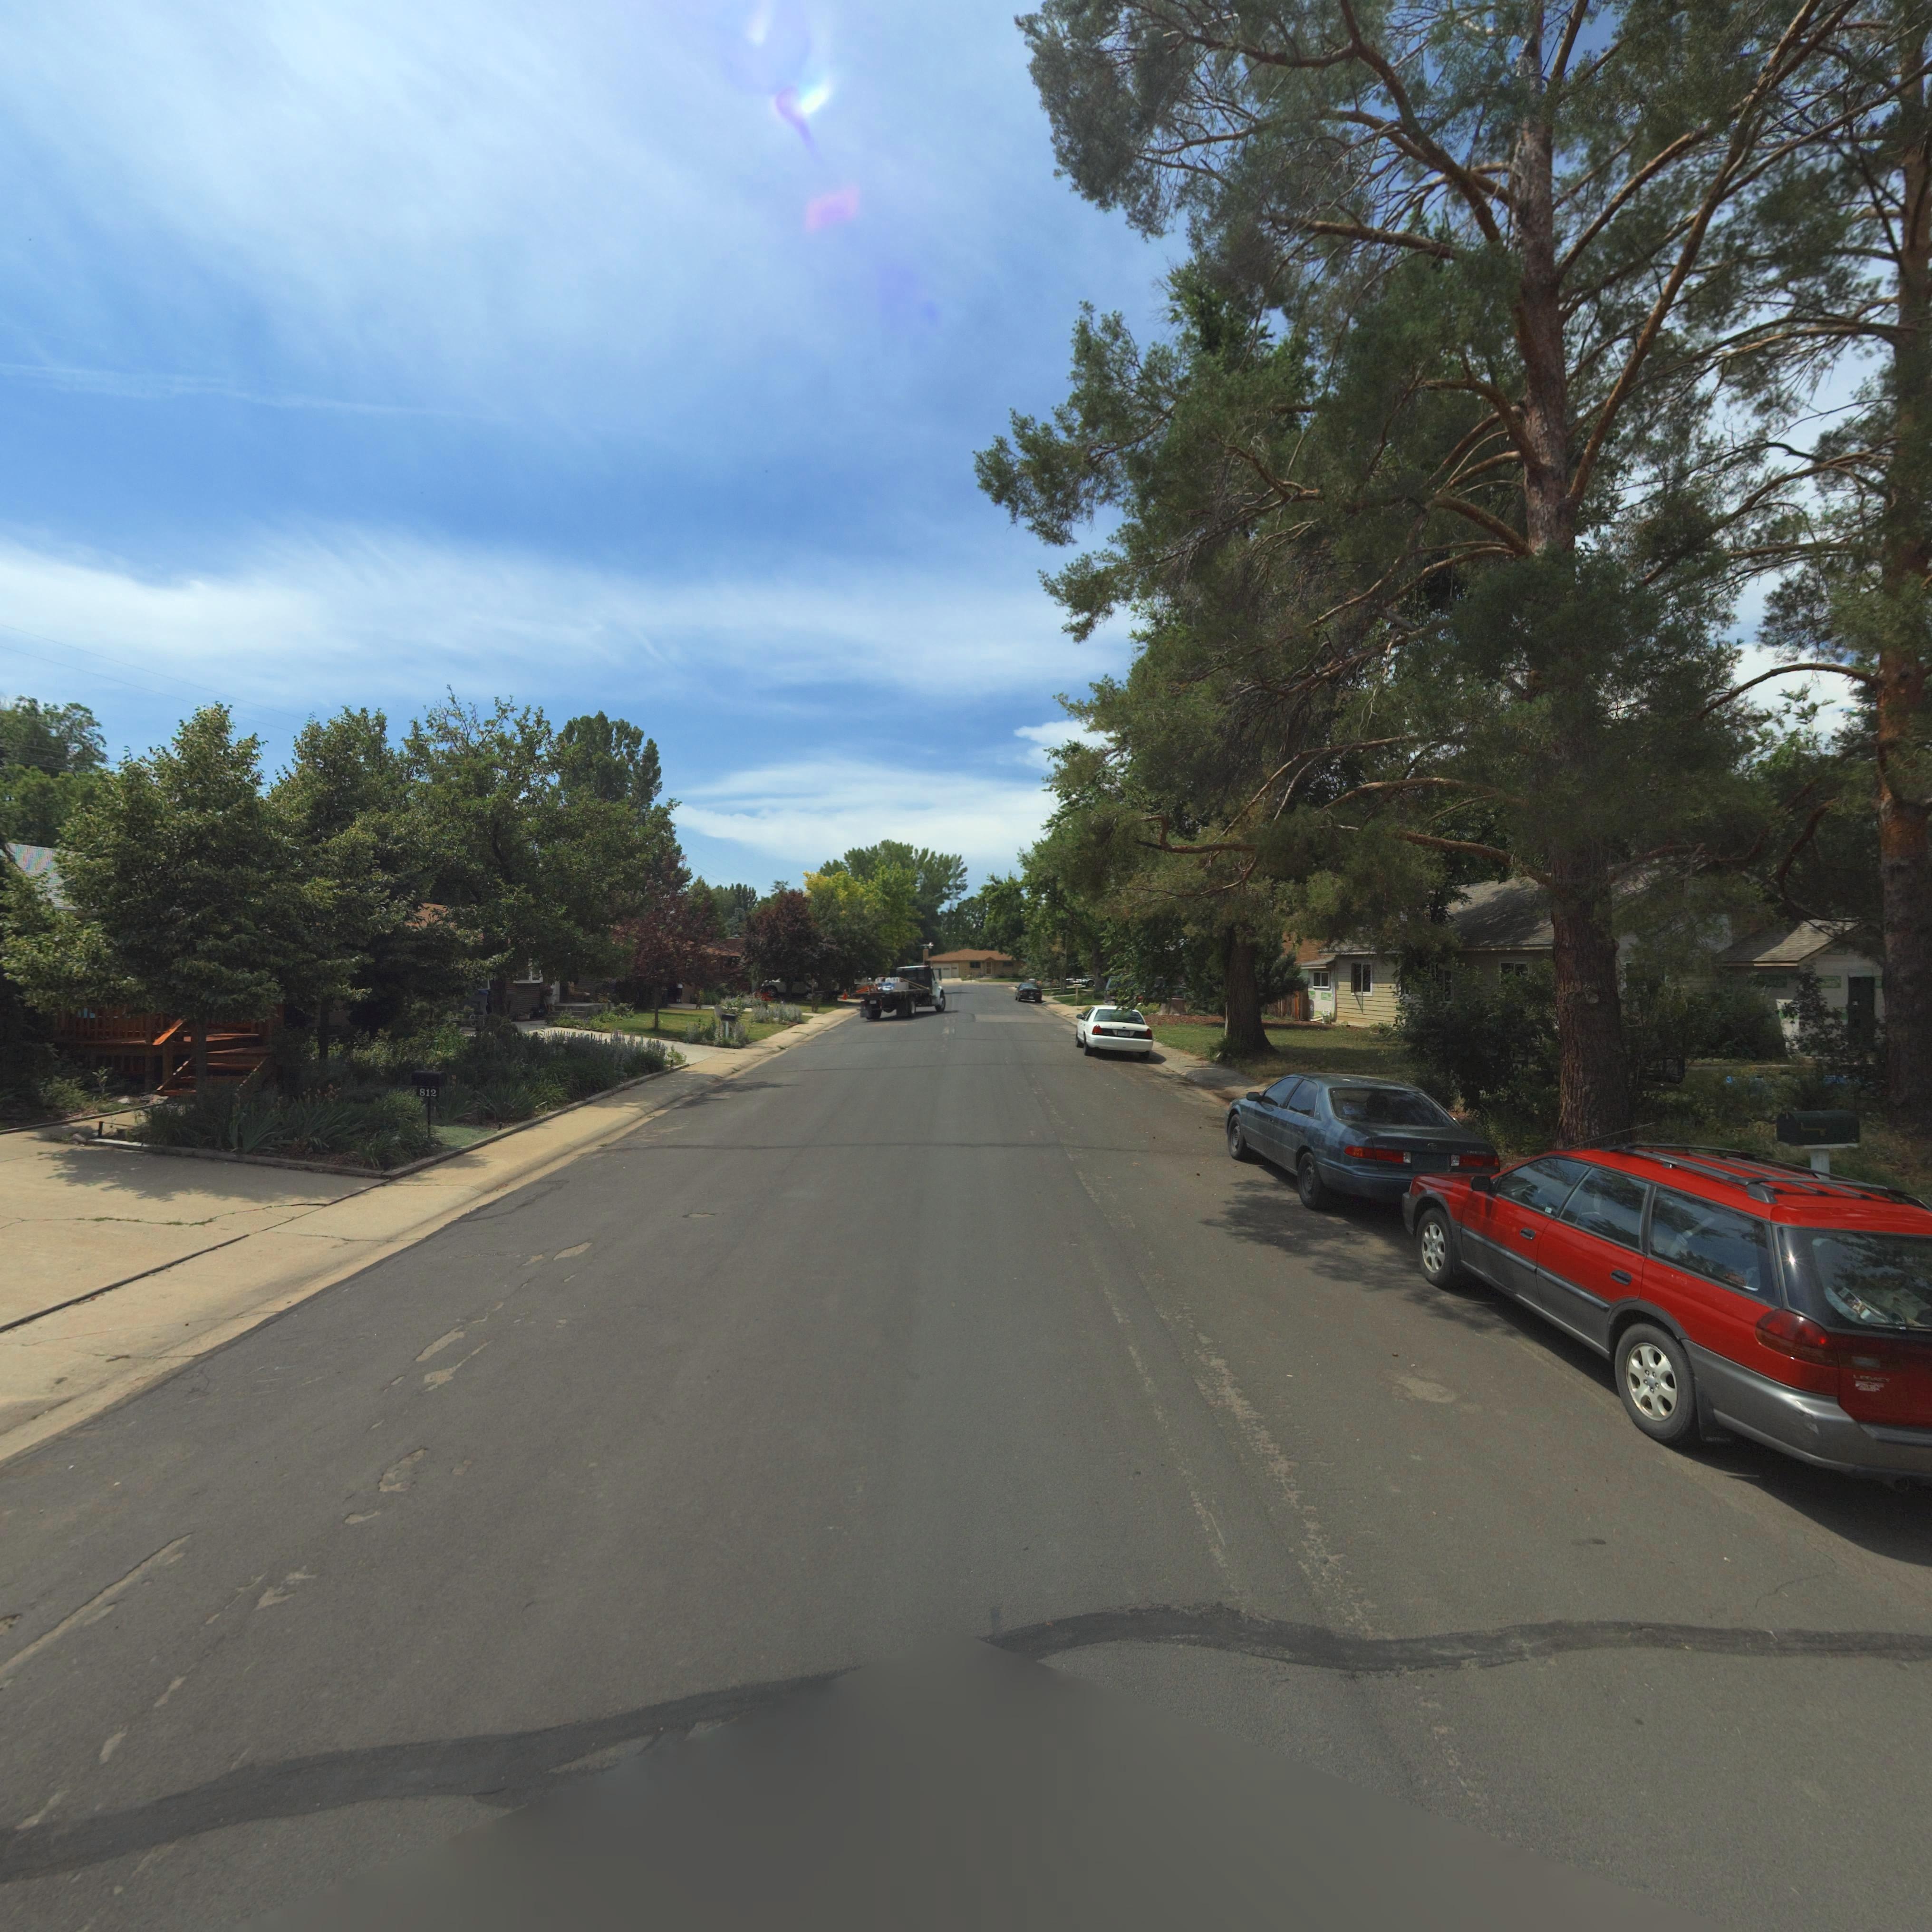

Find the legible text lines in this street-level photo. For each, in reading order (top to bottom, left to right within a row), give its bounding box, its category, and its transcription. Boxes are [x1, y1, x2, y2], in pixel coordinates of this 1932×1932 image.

[419, 1088, 437, 1097] StreetNumber: 812